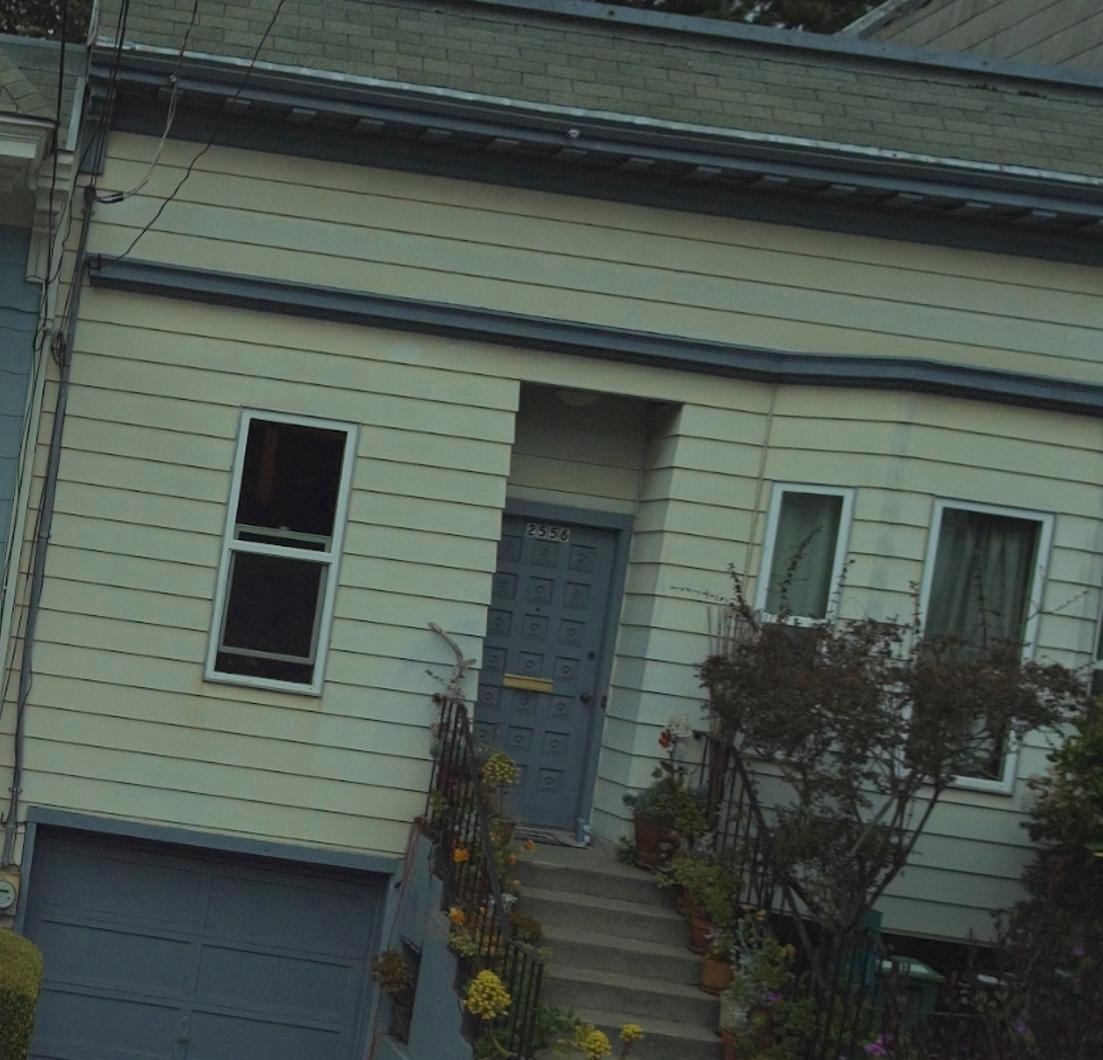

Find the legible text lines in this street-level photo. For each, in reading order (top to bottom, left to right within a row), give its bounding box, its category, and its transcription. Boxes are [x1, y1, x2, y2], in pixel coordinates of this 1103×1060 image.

[525, 522, 571, 543] StreetNumber: 2556